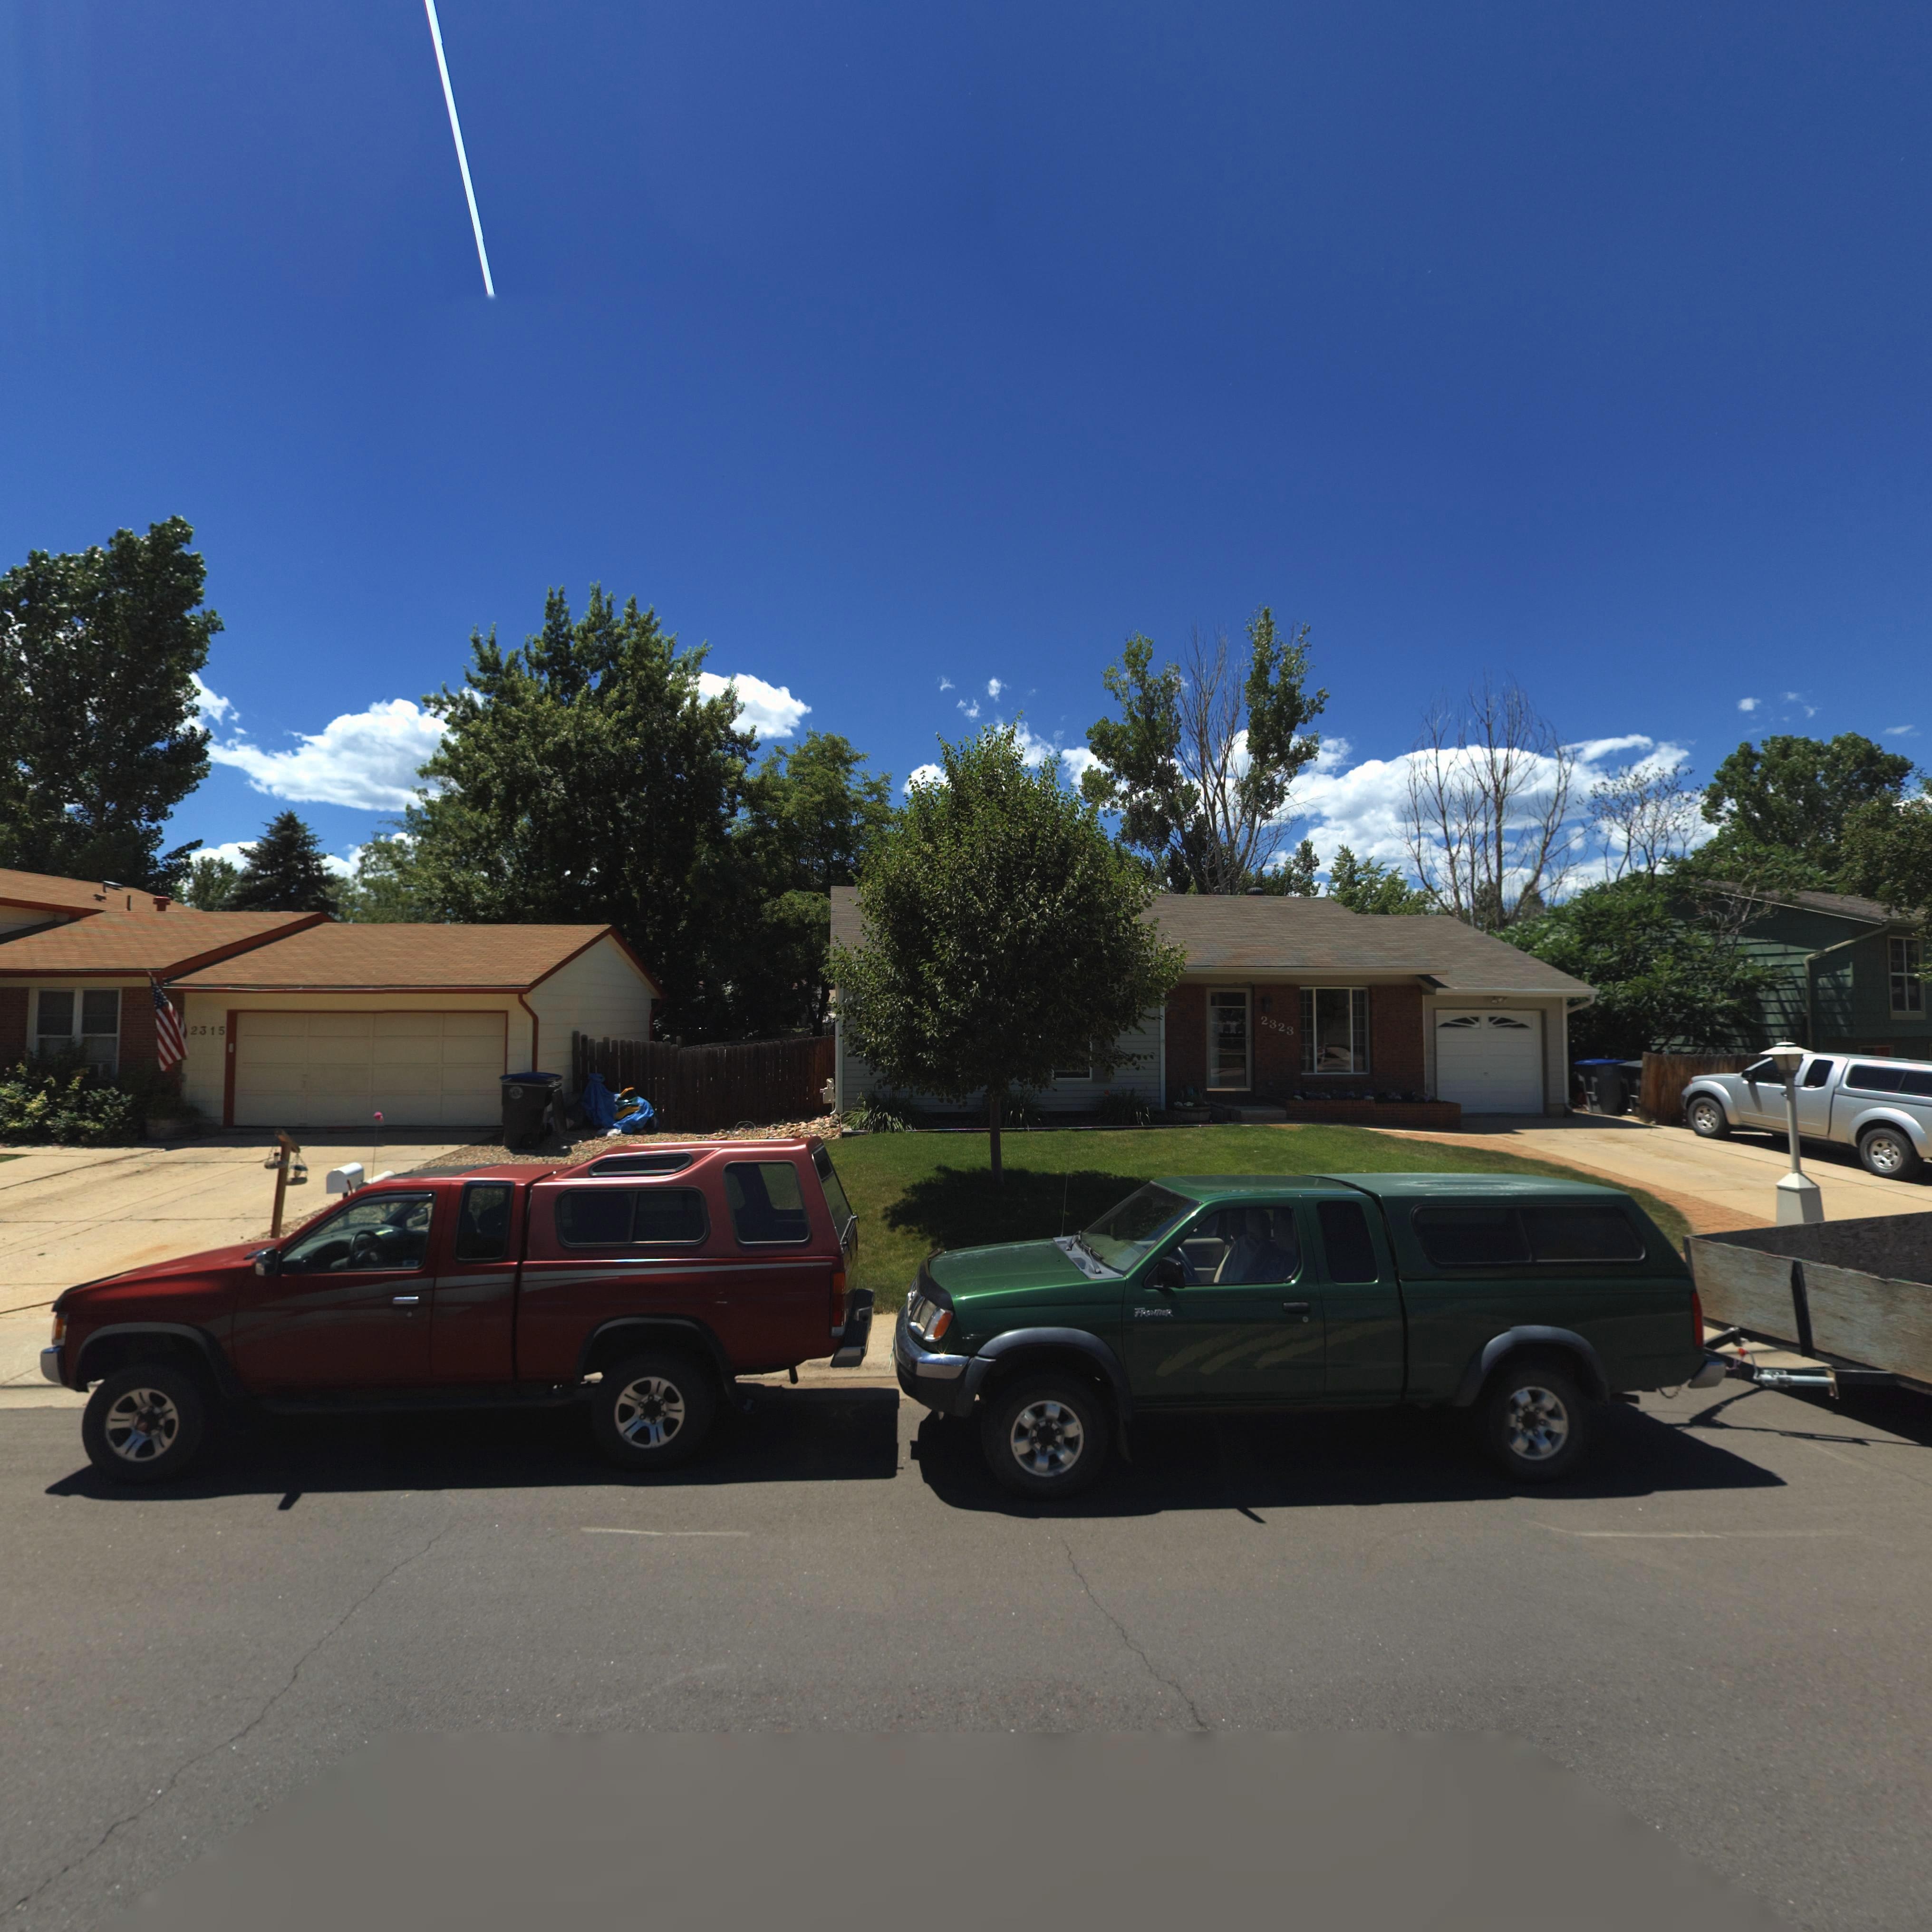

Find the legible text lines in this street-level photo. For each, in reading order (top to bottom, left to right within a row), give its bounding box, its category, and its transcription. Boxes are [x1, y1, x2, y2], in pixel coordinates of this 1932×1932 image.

[189, 1025, 226, 1036] StreetNumber: 2315
[1260, 1015, 1294, 1036] StreetNumber: 2323